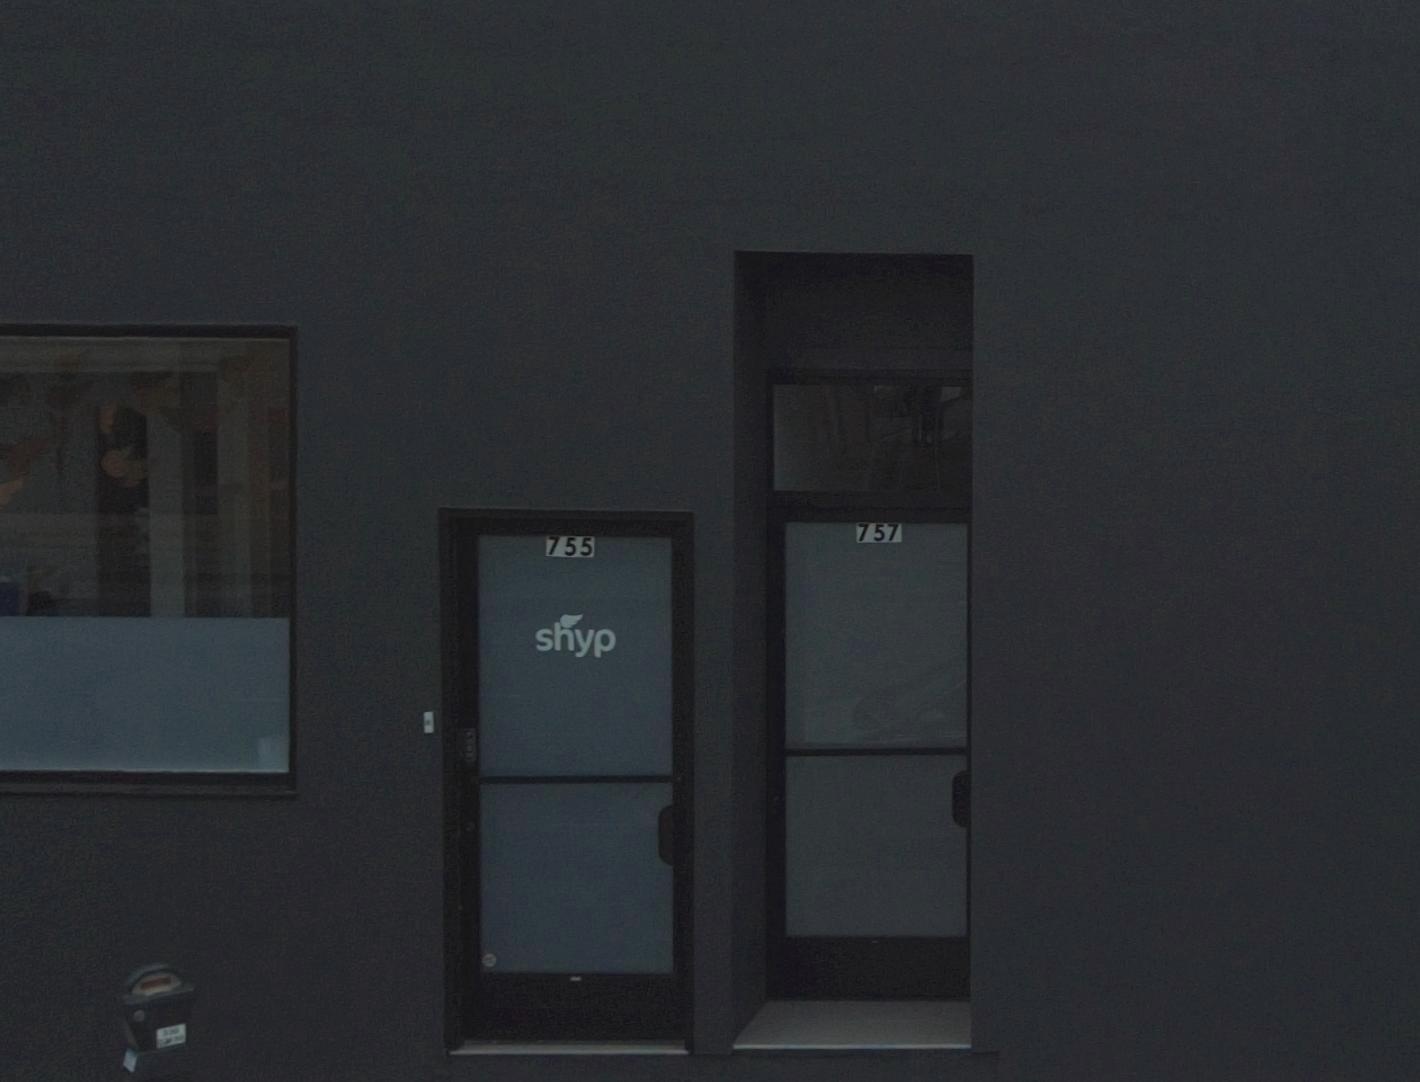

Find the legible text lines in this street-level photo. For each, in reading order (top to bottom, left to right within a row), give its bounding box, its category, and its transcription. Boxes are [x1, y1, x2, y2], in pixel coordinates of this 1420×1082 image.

[856, 521, 901, 544] StreetNumber: 757
[545, 534, 595, 558] StreetNumber: 755
[533, 619, 618, 660] BusinessName: shyp